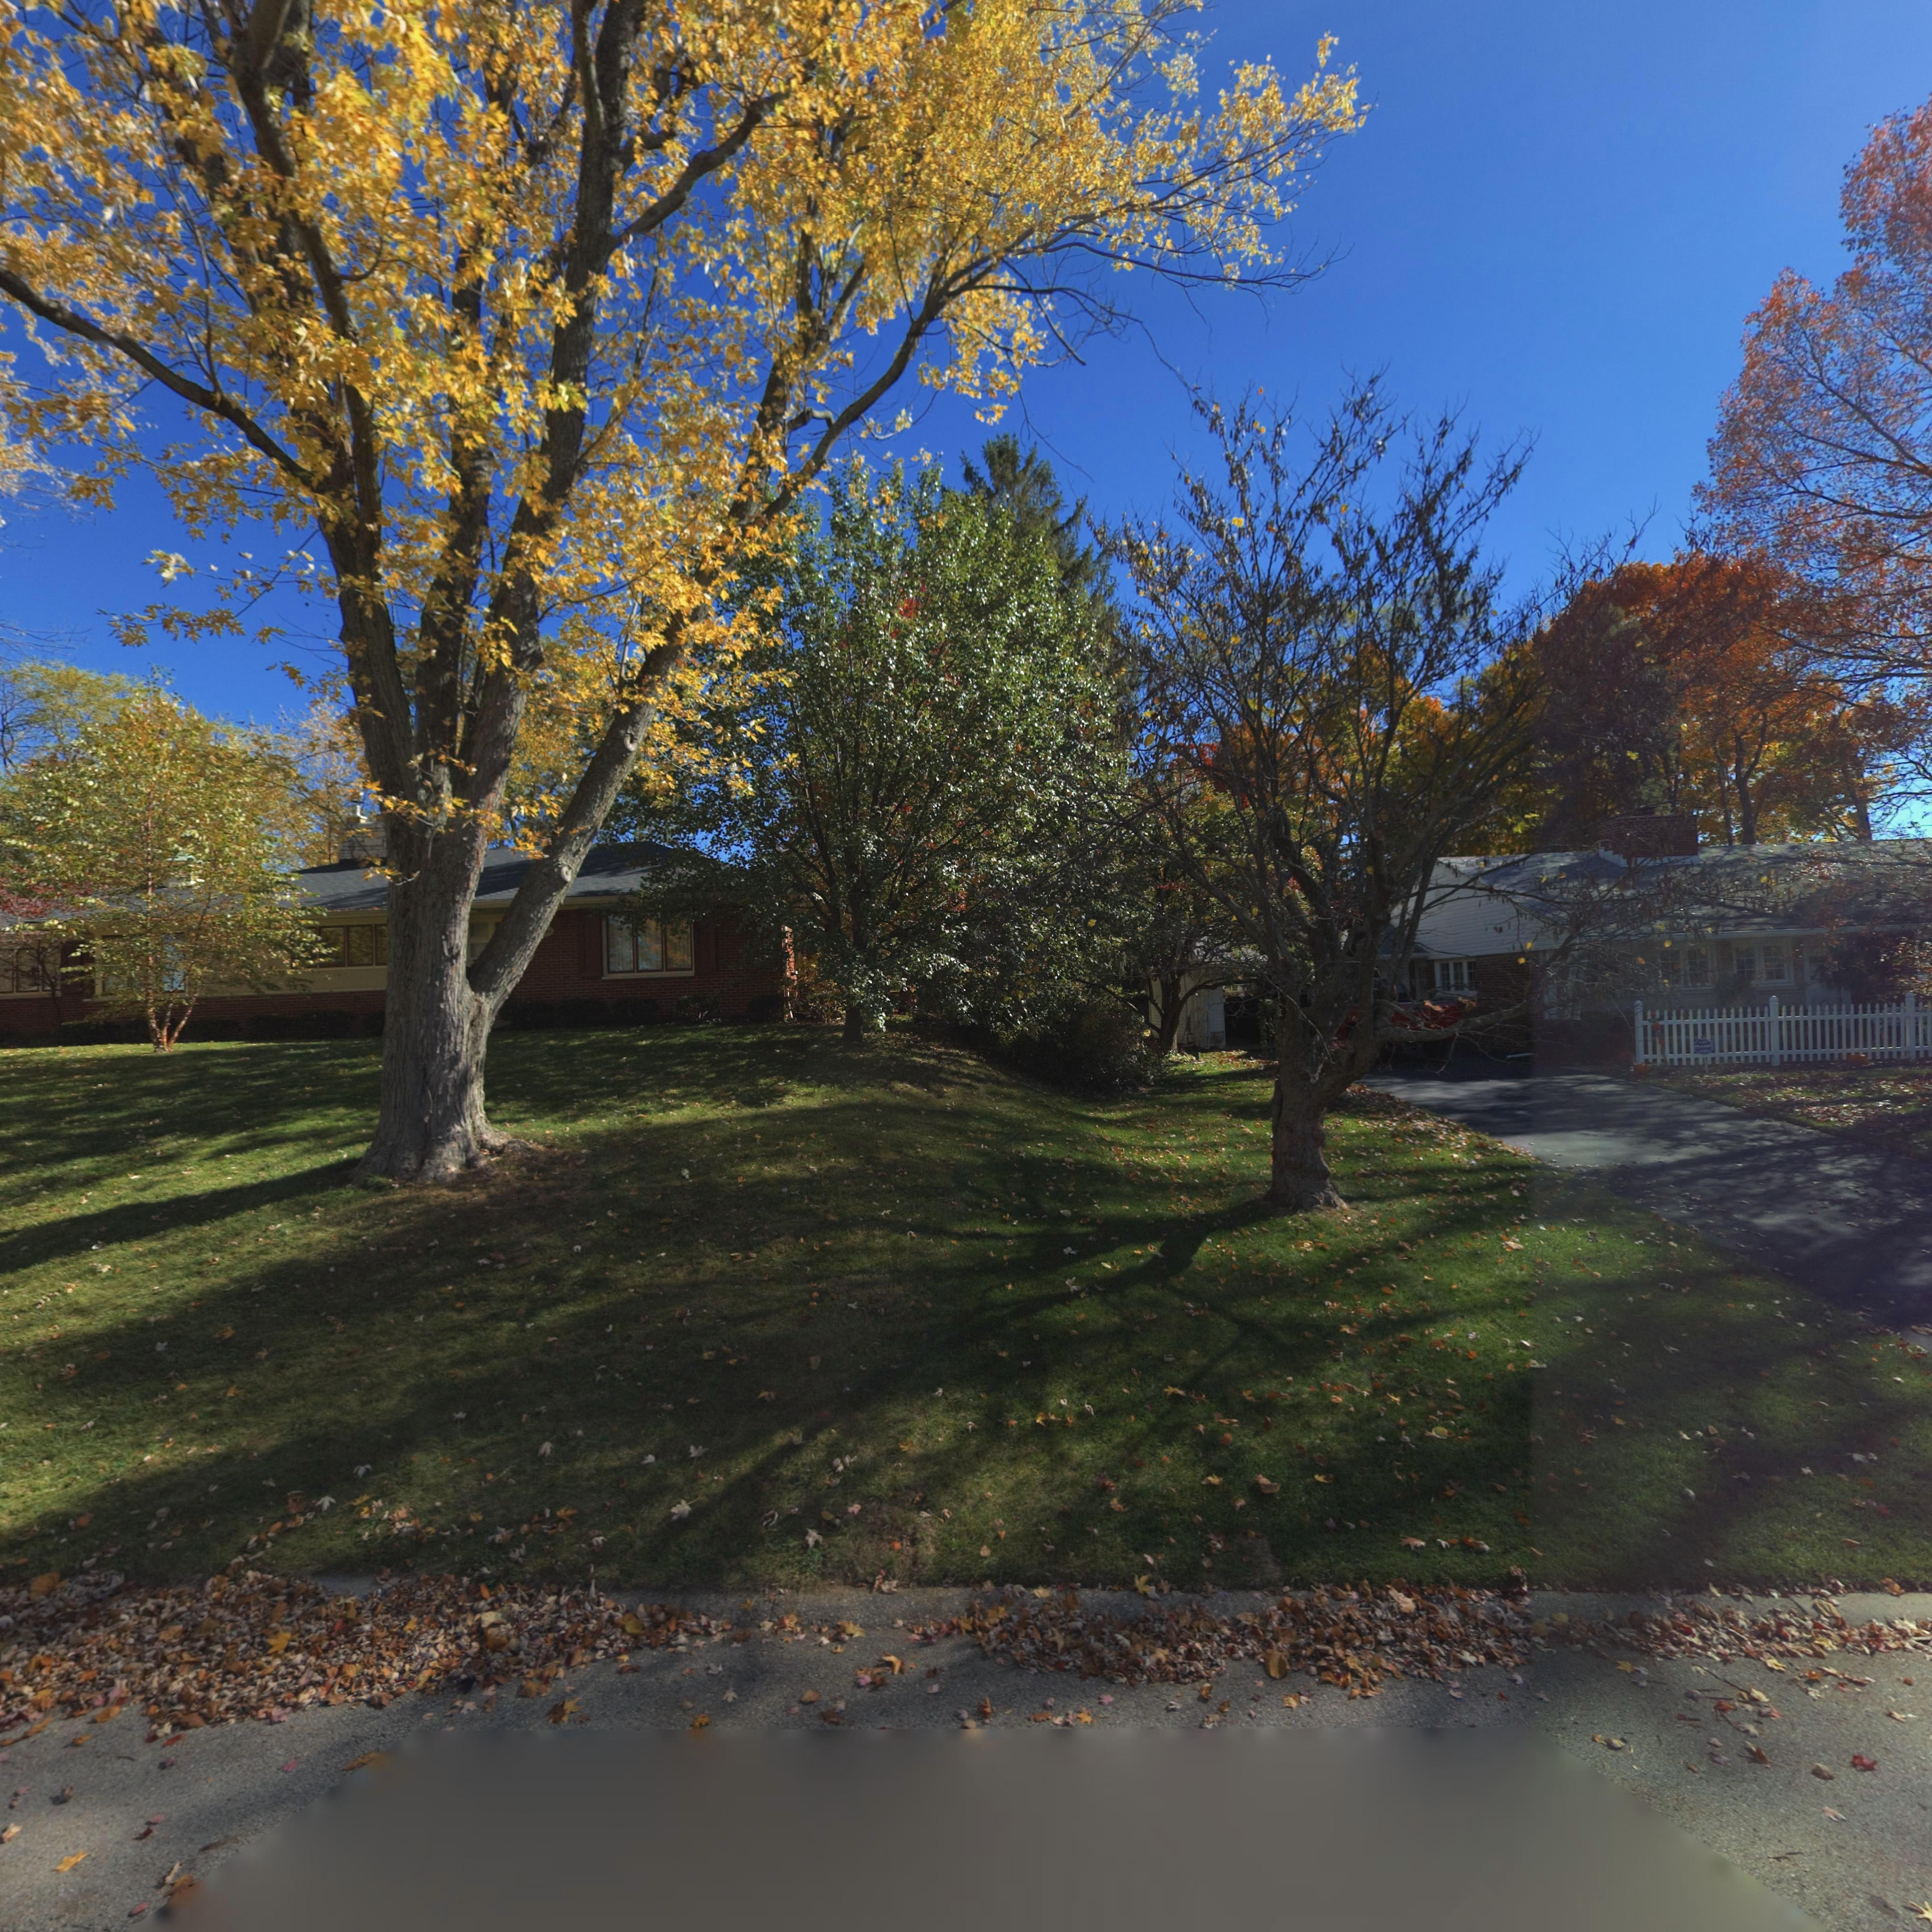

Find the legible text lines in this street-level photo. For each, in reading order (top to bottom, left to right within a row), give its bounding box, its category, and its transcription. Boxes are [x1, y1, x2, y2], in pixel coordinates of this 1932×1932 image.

[548, 928, 552, 935] StreetNumber: 4